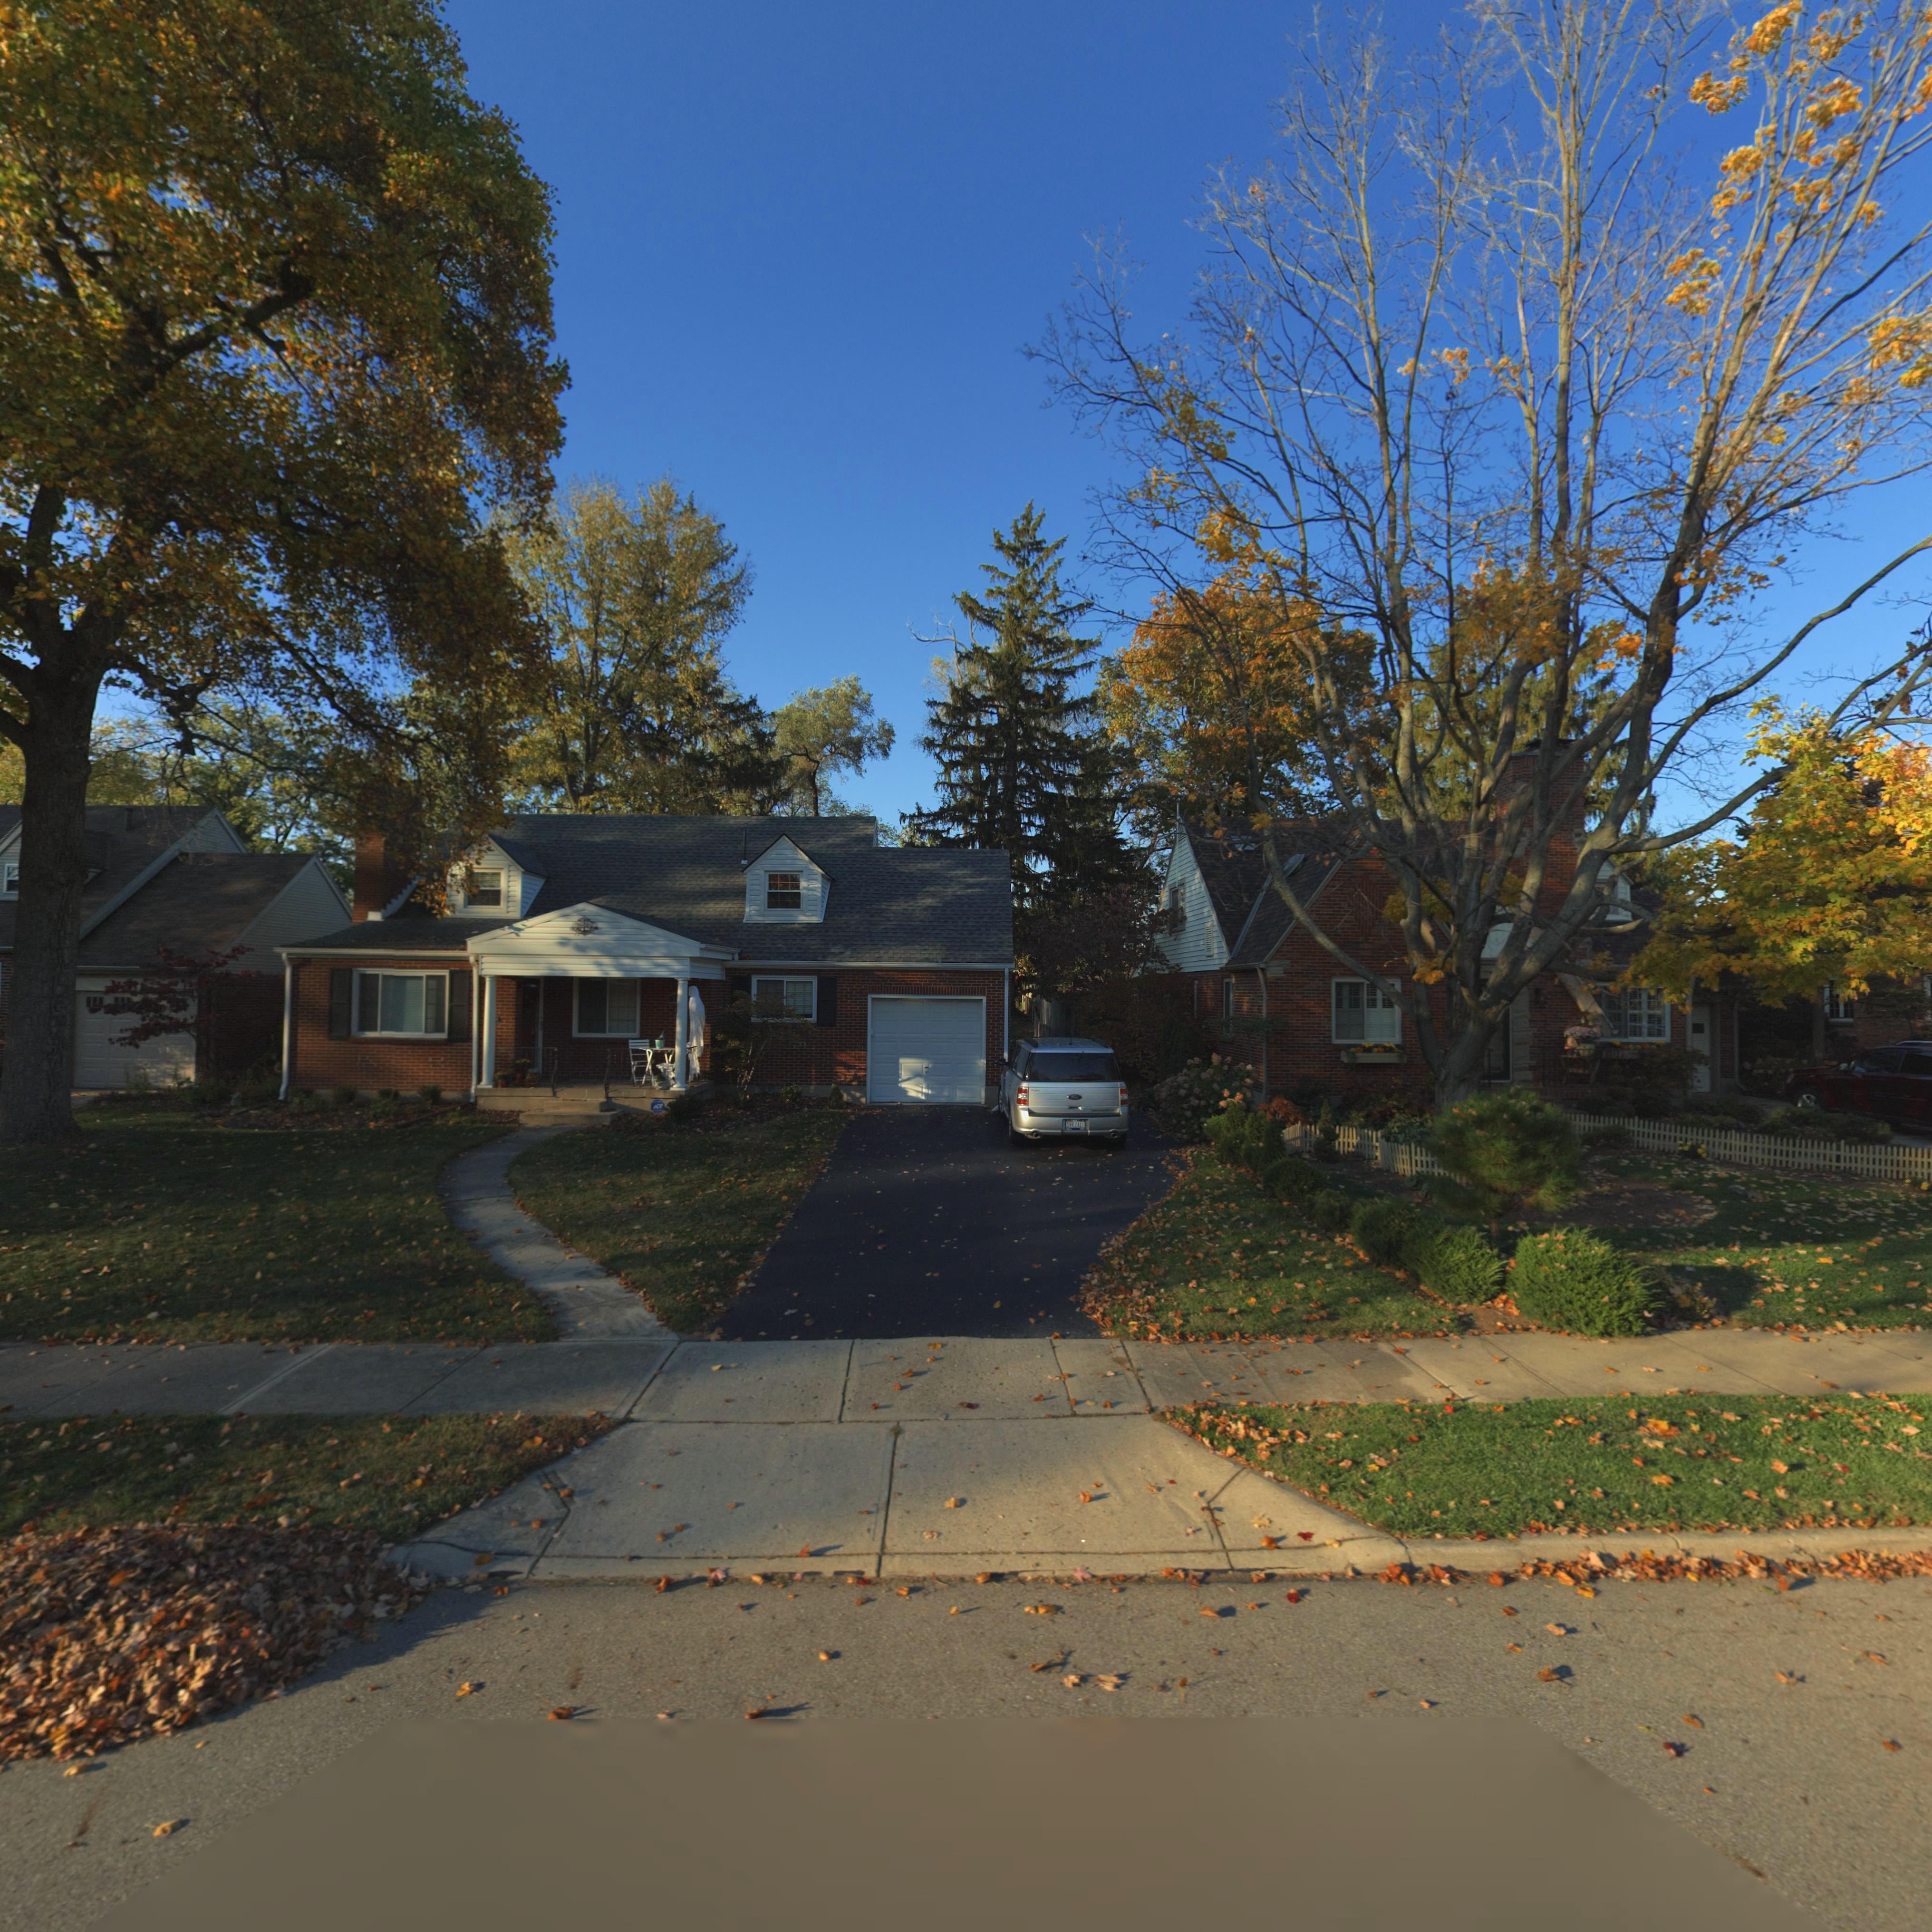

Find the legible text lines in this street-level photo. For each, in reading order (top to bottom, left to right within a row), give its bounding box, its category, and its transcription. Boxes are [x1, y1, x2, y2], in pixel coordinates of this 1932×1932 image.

[671, 996, 676, 1002] StreetNumber: 2